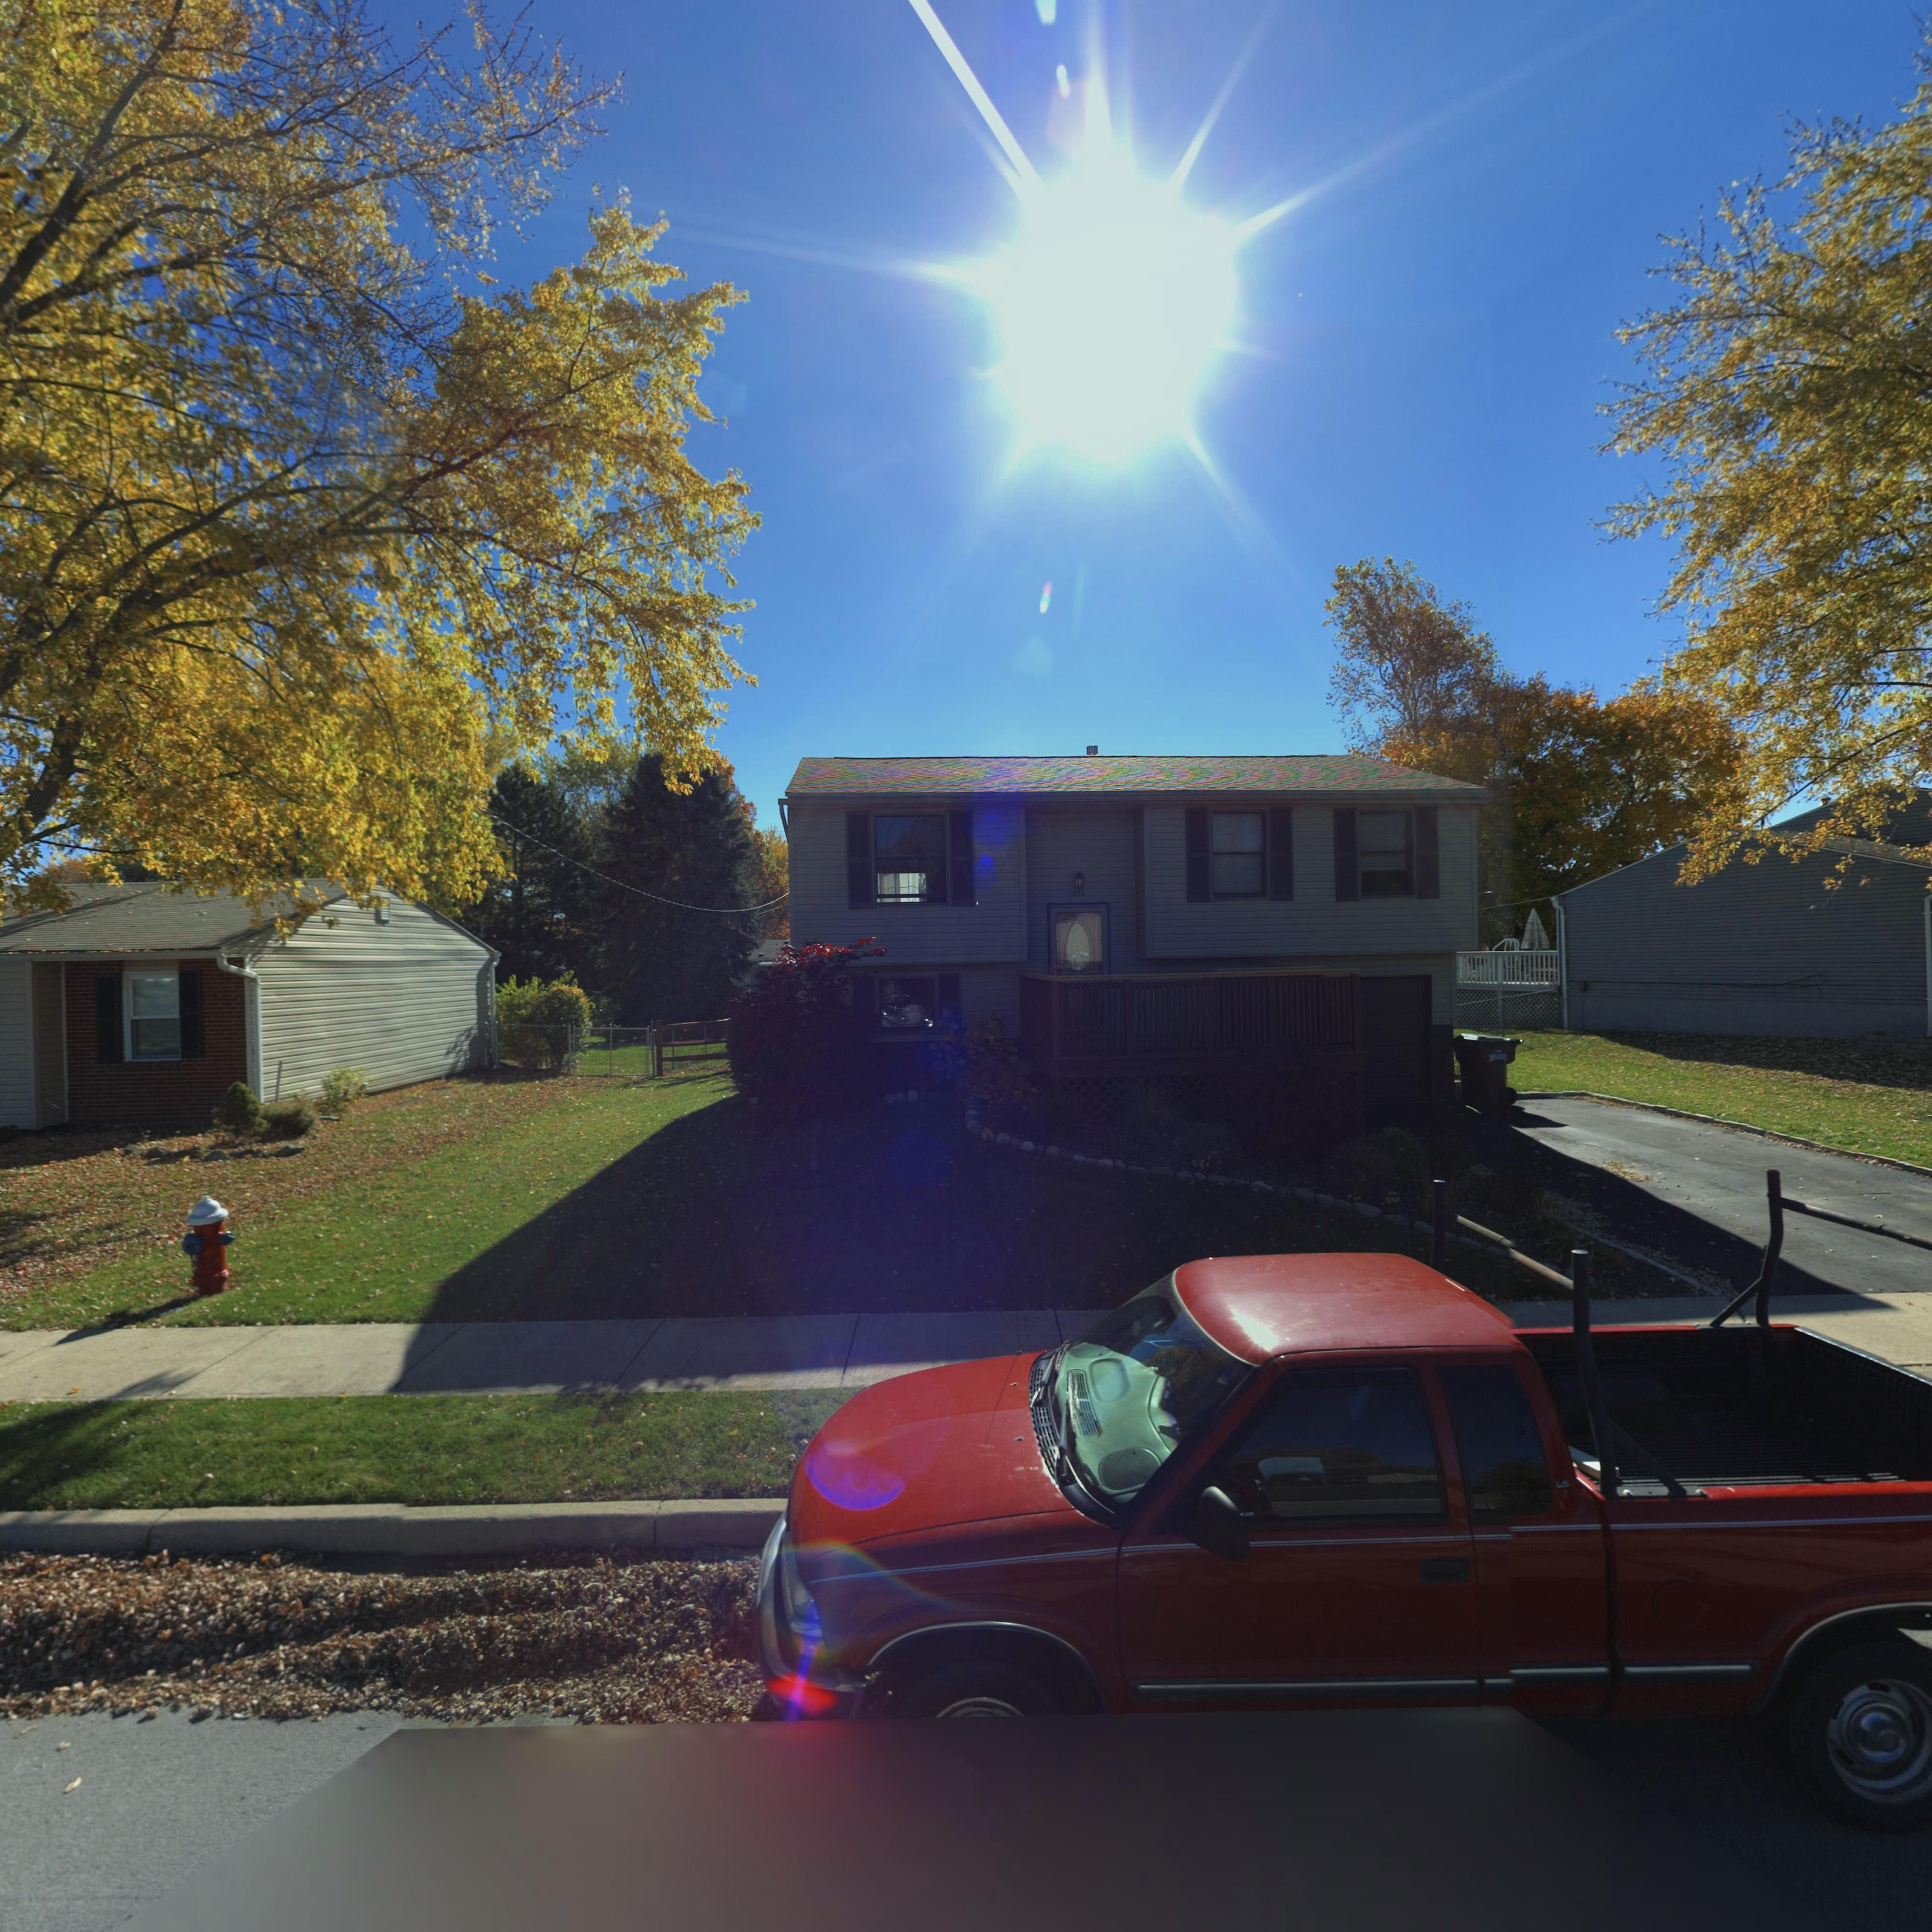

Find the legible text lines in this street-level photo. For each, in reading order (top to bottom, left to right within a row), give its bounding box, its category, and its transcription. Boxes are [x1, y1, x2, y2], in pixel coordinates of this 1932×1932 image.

[1071, 889, 1085, 897] StreetNumber: 673